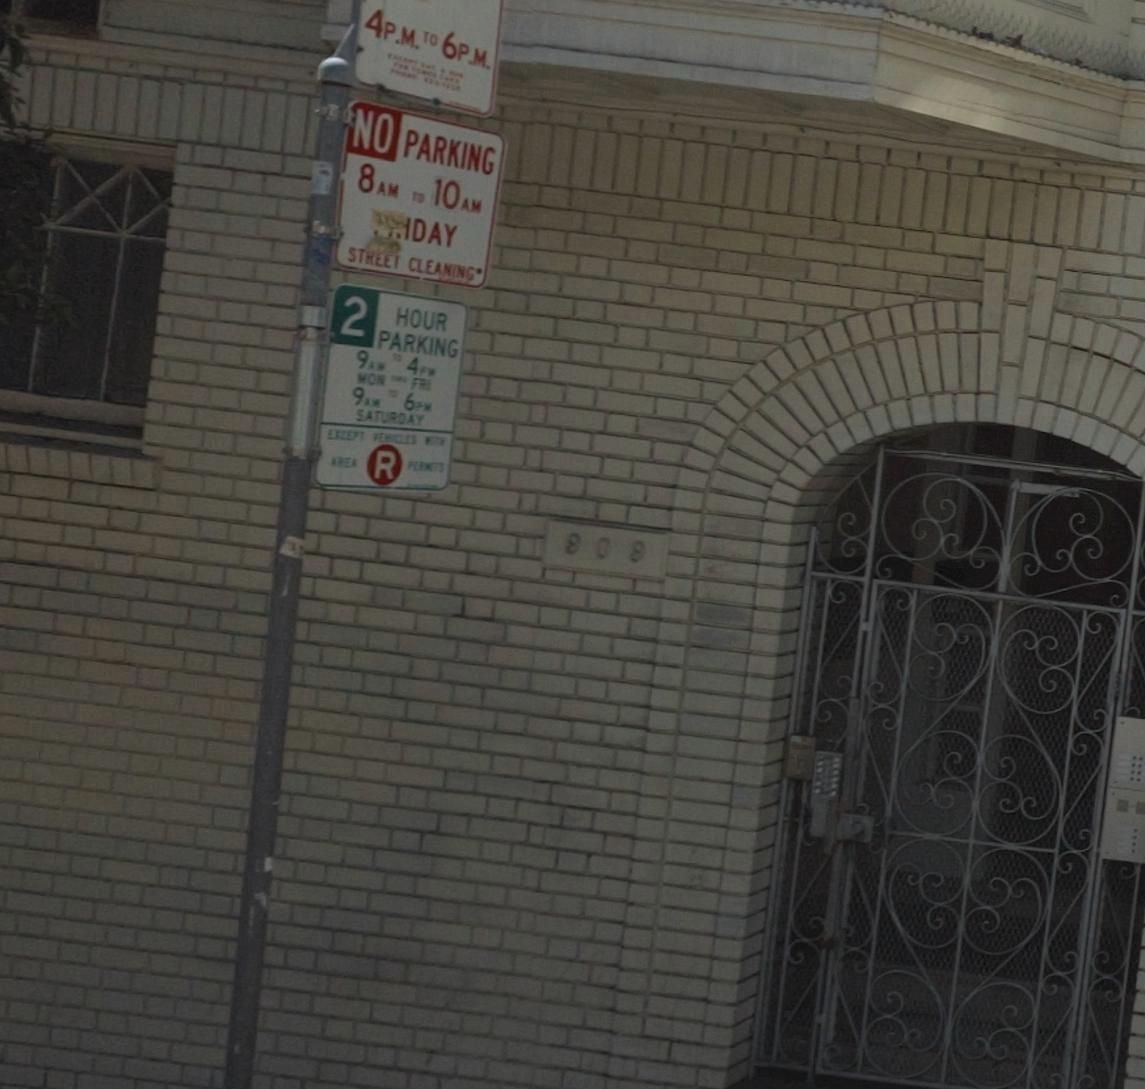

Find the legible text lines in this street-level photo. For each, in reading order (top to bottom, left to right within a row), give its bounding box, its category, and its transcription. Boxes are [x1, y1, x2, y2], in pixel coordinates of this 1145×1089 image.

[363, 4, 491, 77] None: 4P.M. TO 6P.M.
[351, 106, 499, 179] None: NO PARKING
[356, 159, 484, 219] None: 8AM TO 10AM
[404, 213, 461, 251] None: IDAY
[345, 243, 477, 284] None: STREET CLEANING
[338, 292, 372, 339] None: 2
[394, 304, 450, 335] None: HOUR
[376, 327, 460, 361] None: PARKING
[353, 348, 438, 380] None: 9AM 4PM
[356, 366, 435, 395] None: MON FRI
[354, 406, 426, 428] None: SATURDAY
[351, 385, 436, 415] None: 9AM 6PM
[325, 426, 448, 449] None: EXPECT VEHICLES WITH
[373, 448, 398, 482] None: R
[562, 528, 647, 567] StreetNumber: 909